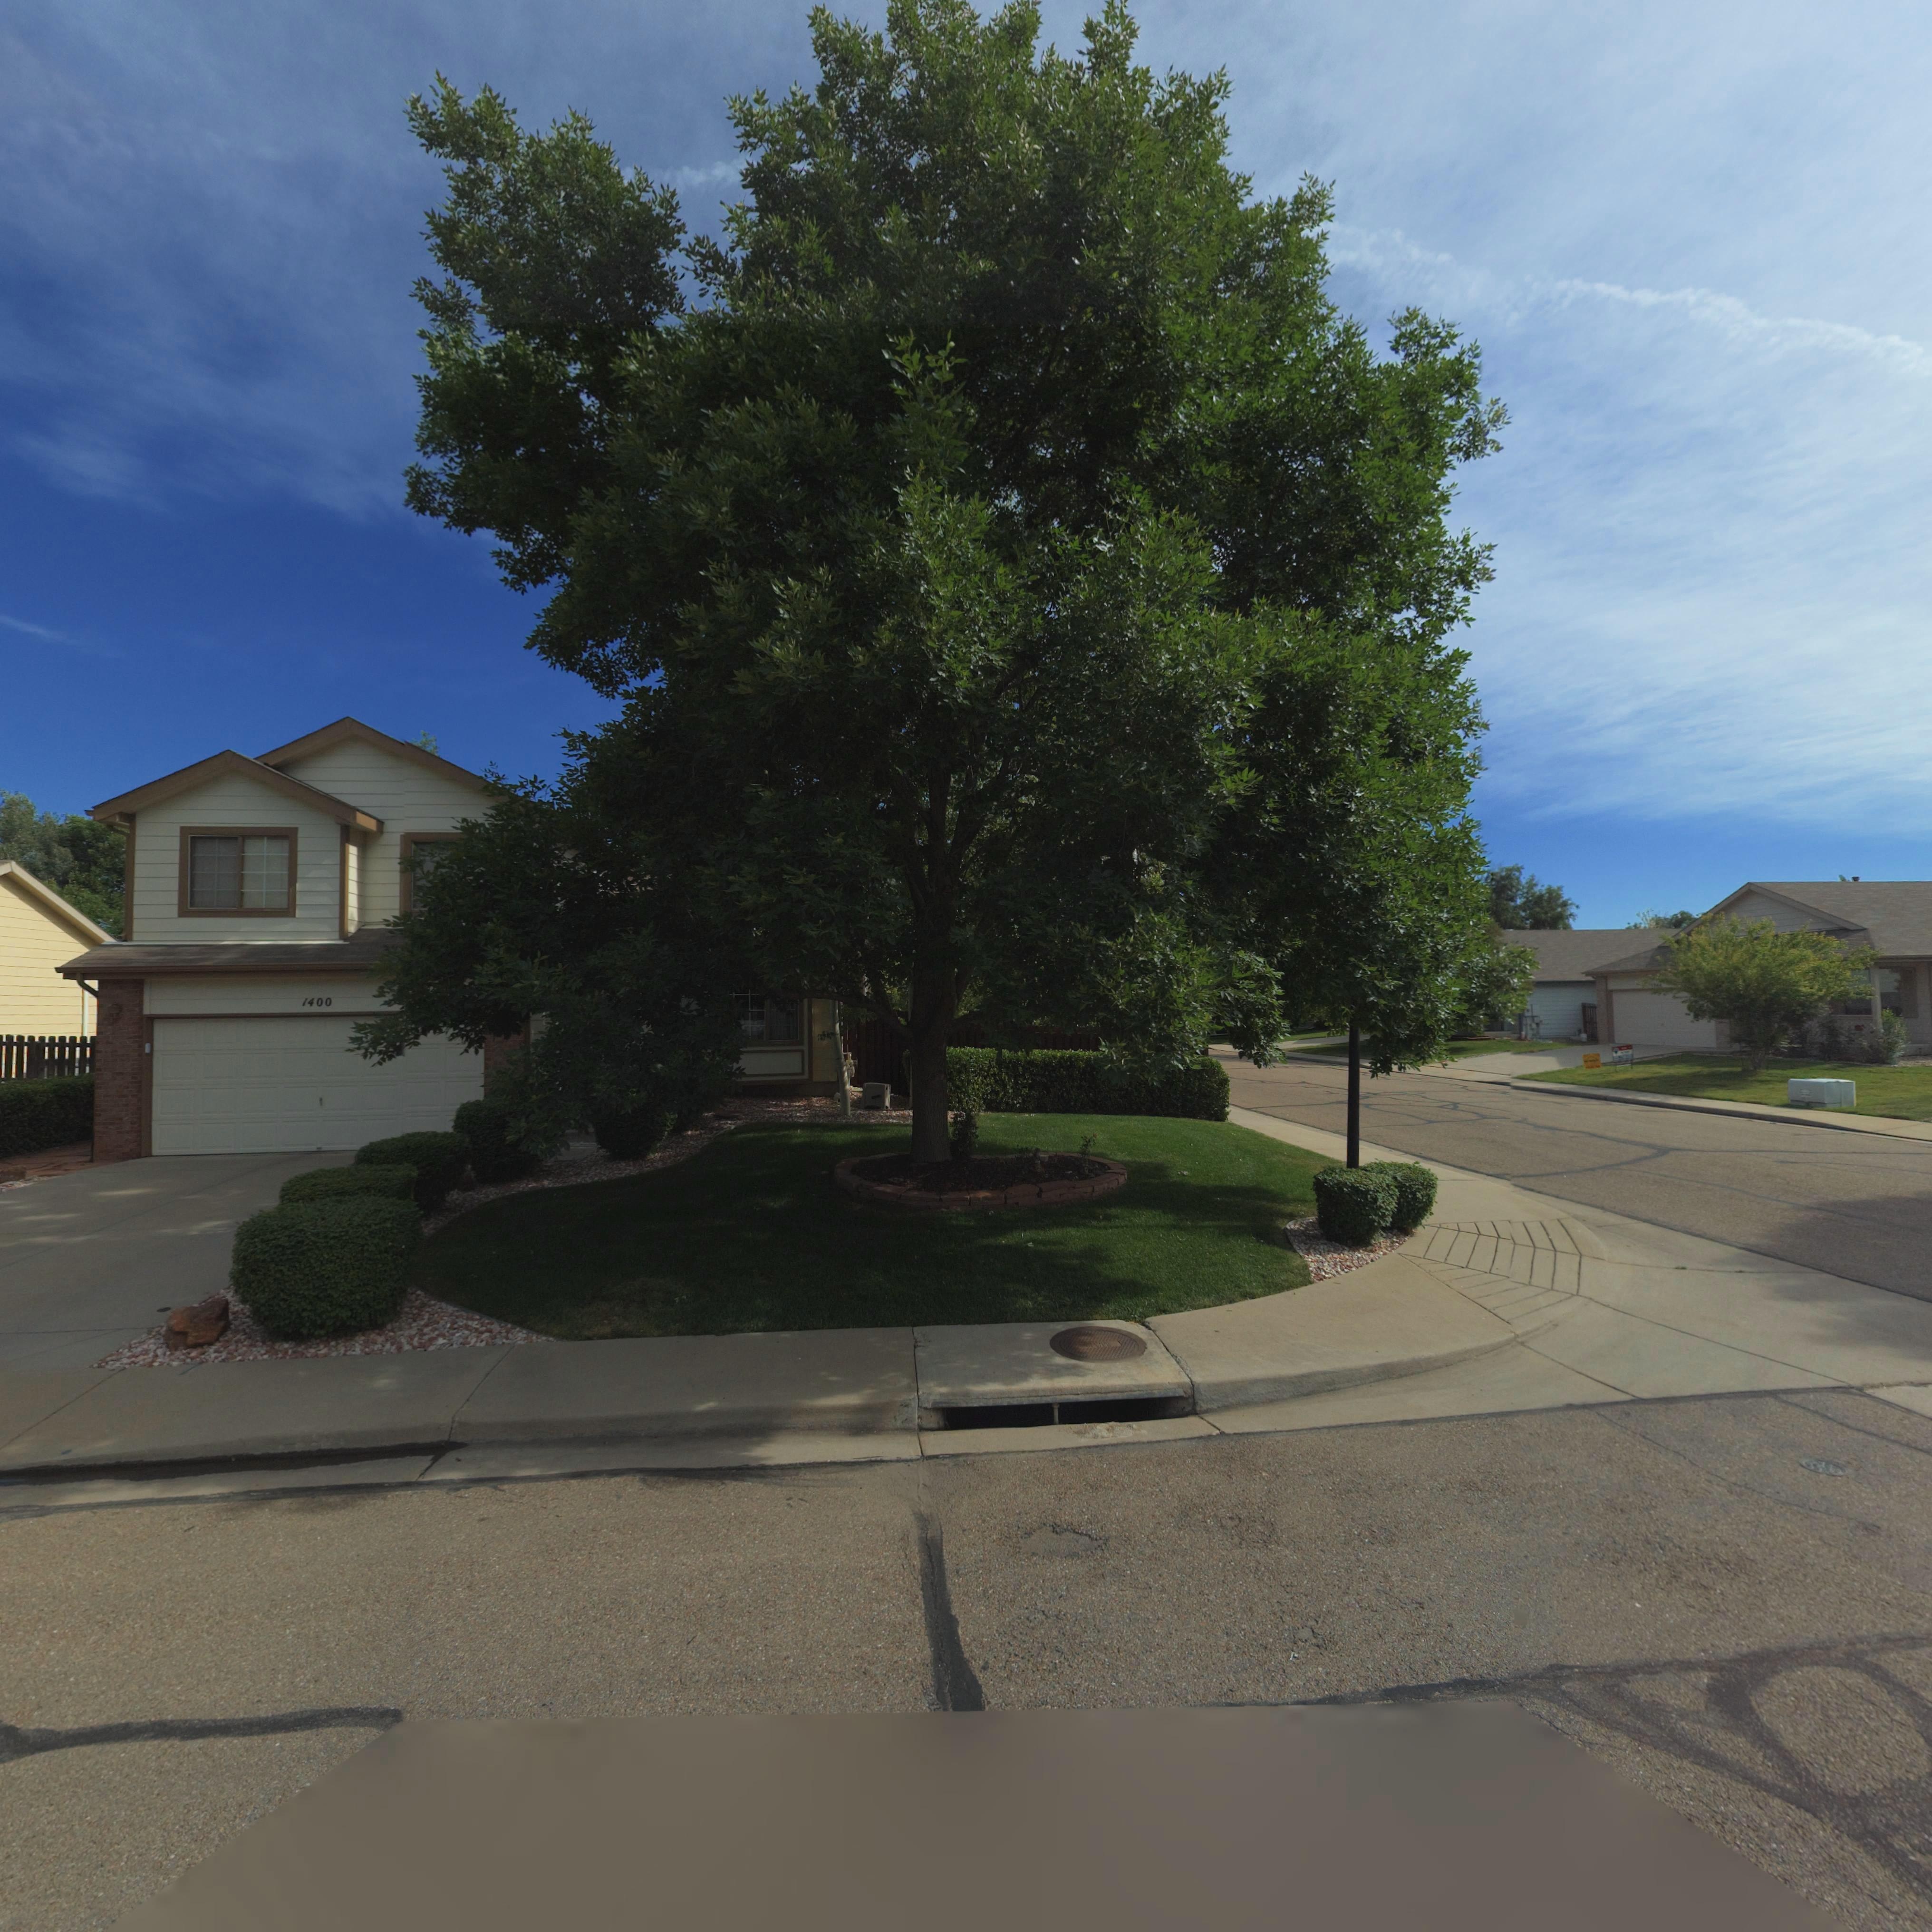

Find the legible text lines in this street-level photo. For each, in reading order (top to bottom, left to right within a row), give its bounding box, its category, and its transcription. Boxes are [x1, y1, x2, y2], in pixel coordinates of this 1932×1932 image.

[1651, 983, 1662, 987] StreetNumber: 17**
[301, 996, 332, 1007] StreetNumber: 1400